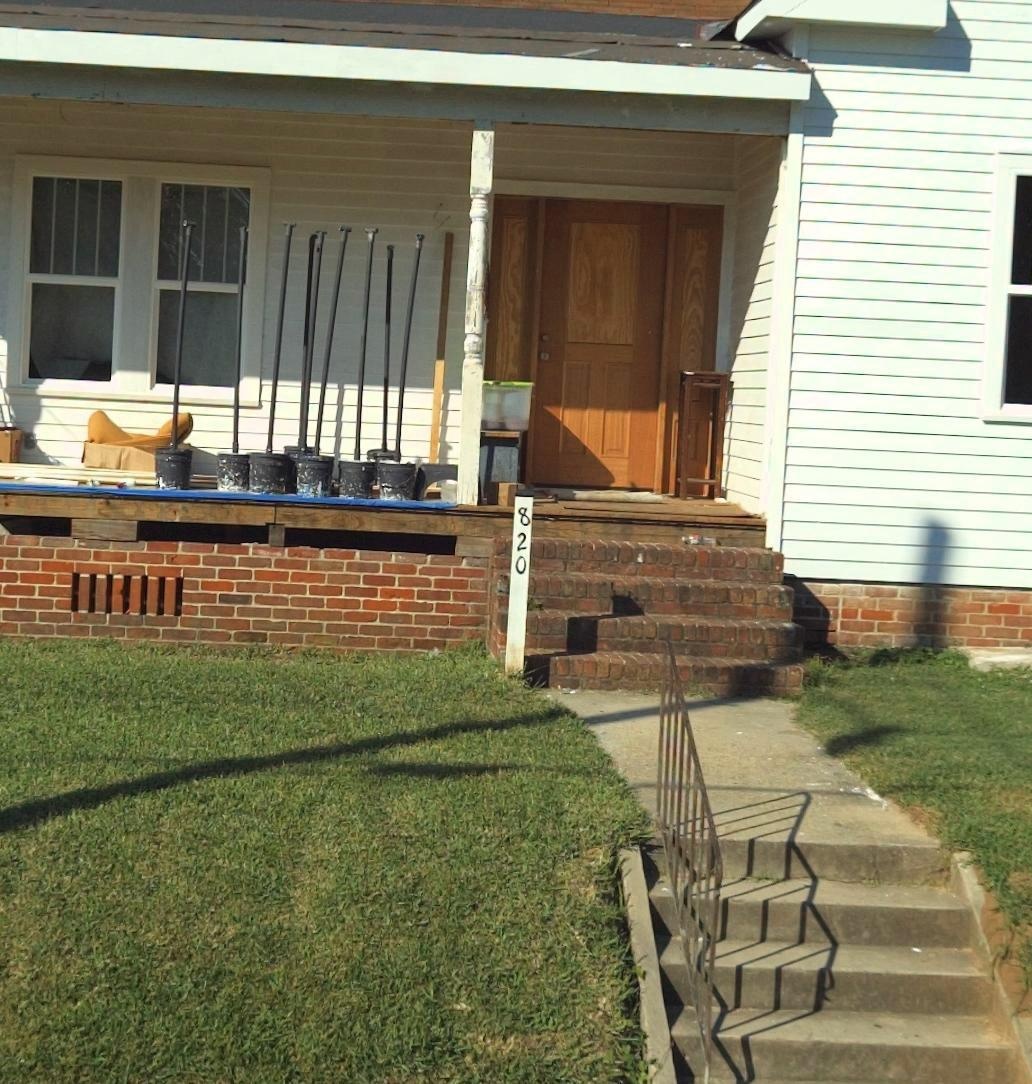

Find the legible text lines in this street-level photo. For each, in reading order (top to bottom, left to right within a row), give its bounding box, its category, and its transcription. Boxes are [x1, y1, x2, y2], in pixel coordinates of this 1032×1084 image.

[512, 502, 533, 579] StreetNumber: 820